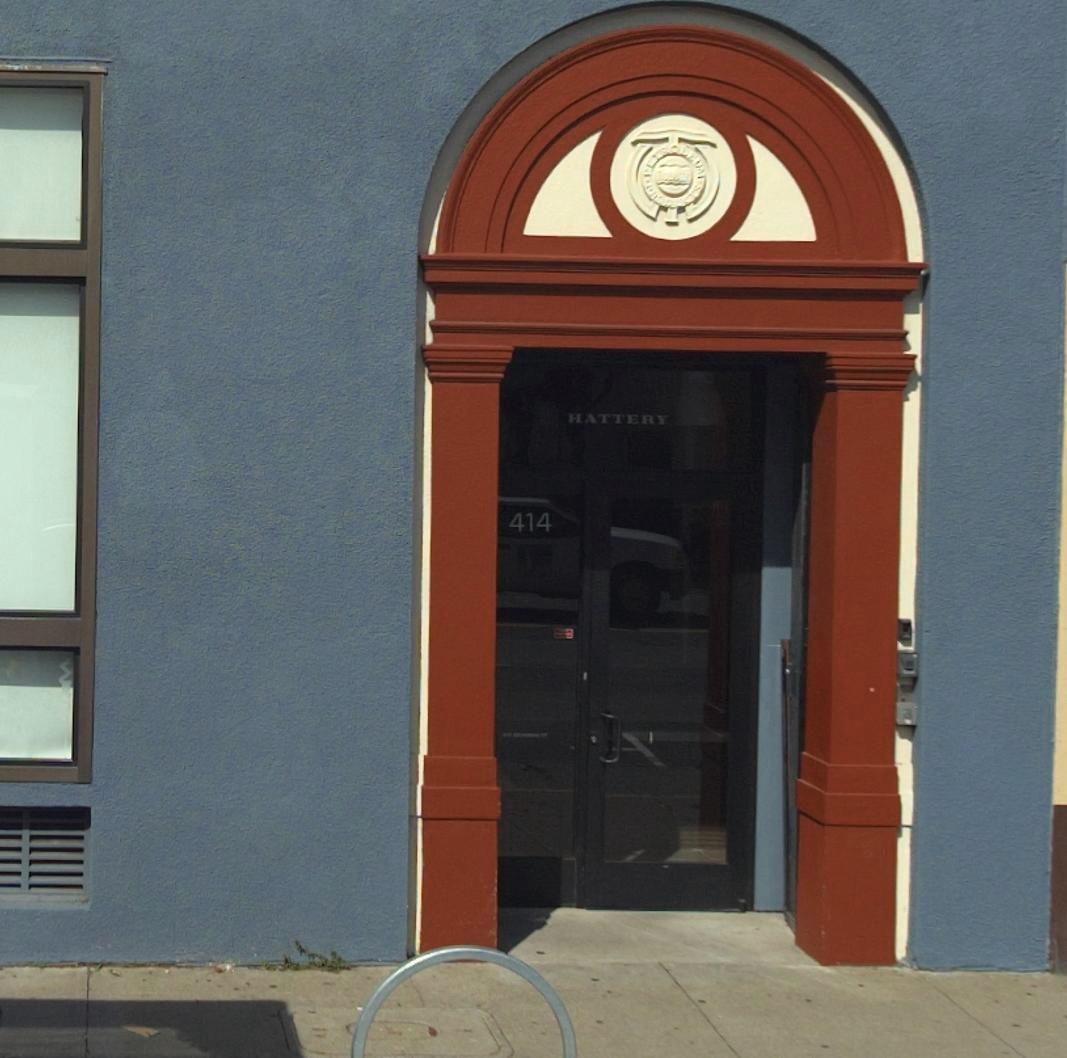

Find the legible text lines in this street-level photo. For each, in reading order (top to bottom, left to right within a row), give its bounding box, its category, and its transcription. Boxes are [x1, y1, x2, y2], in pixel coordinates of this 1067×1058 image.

[563, 407, 675, 429] None: HATTERY
[501, 509, 557, 537] StreetNumber: 414